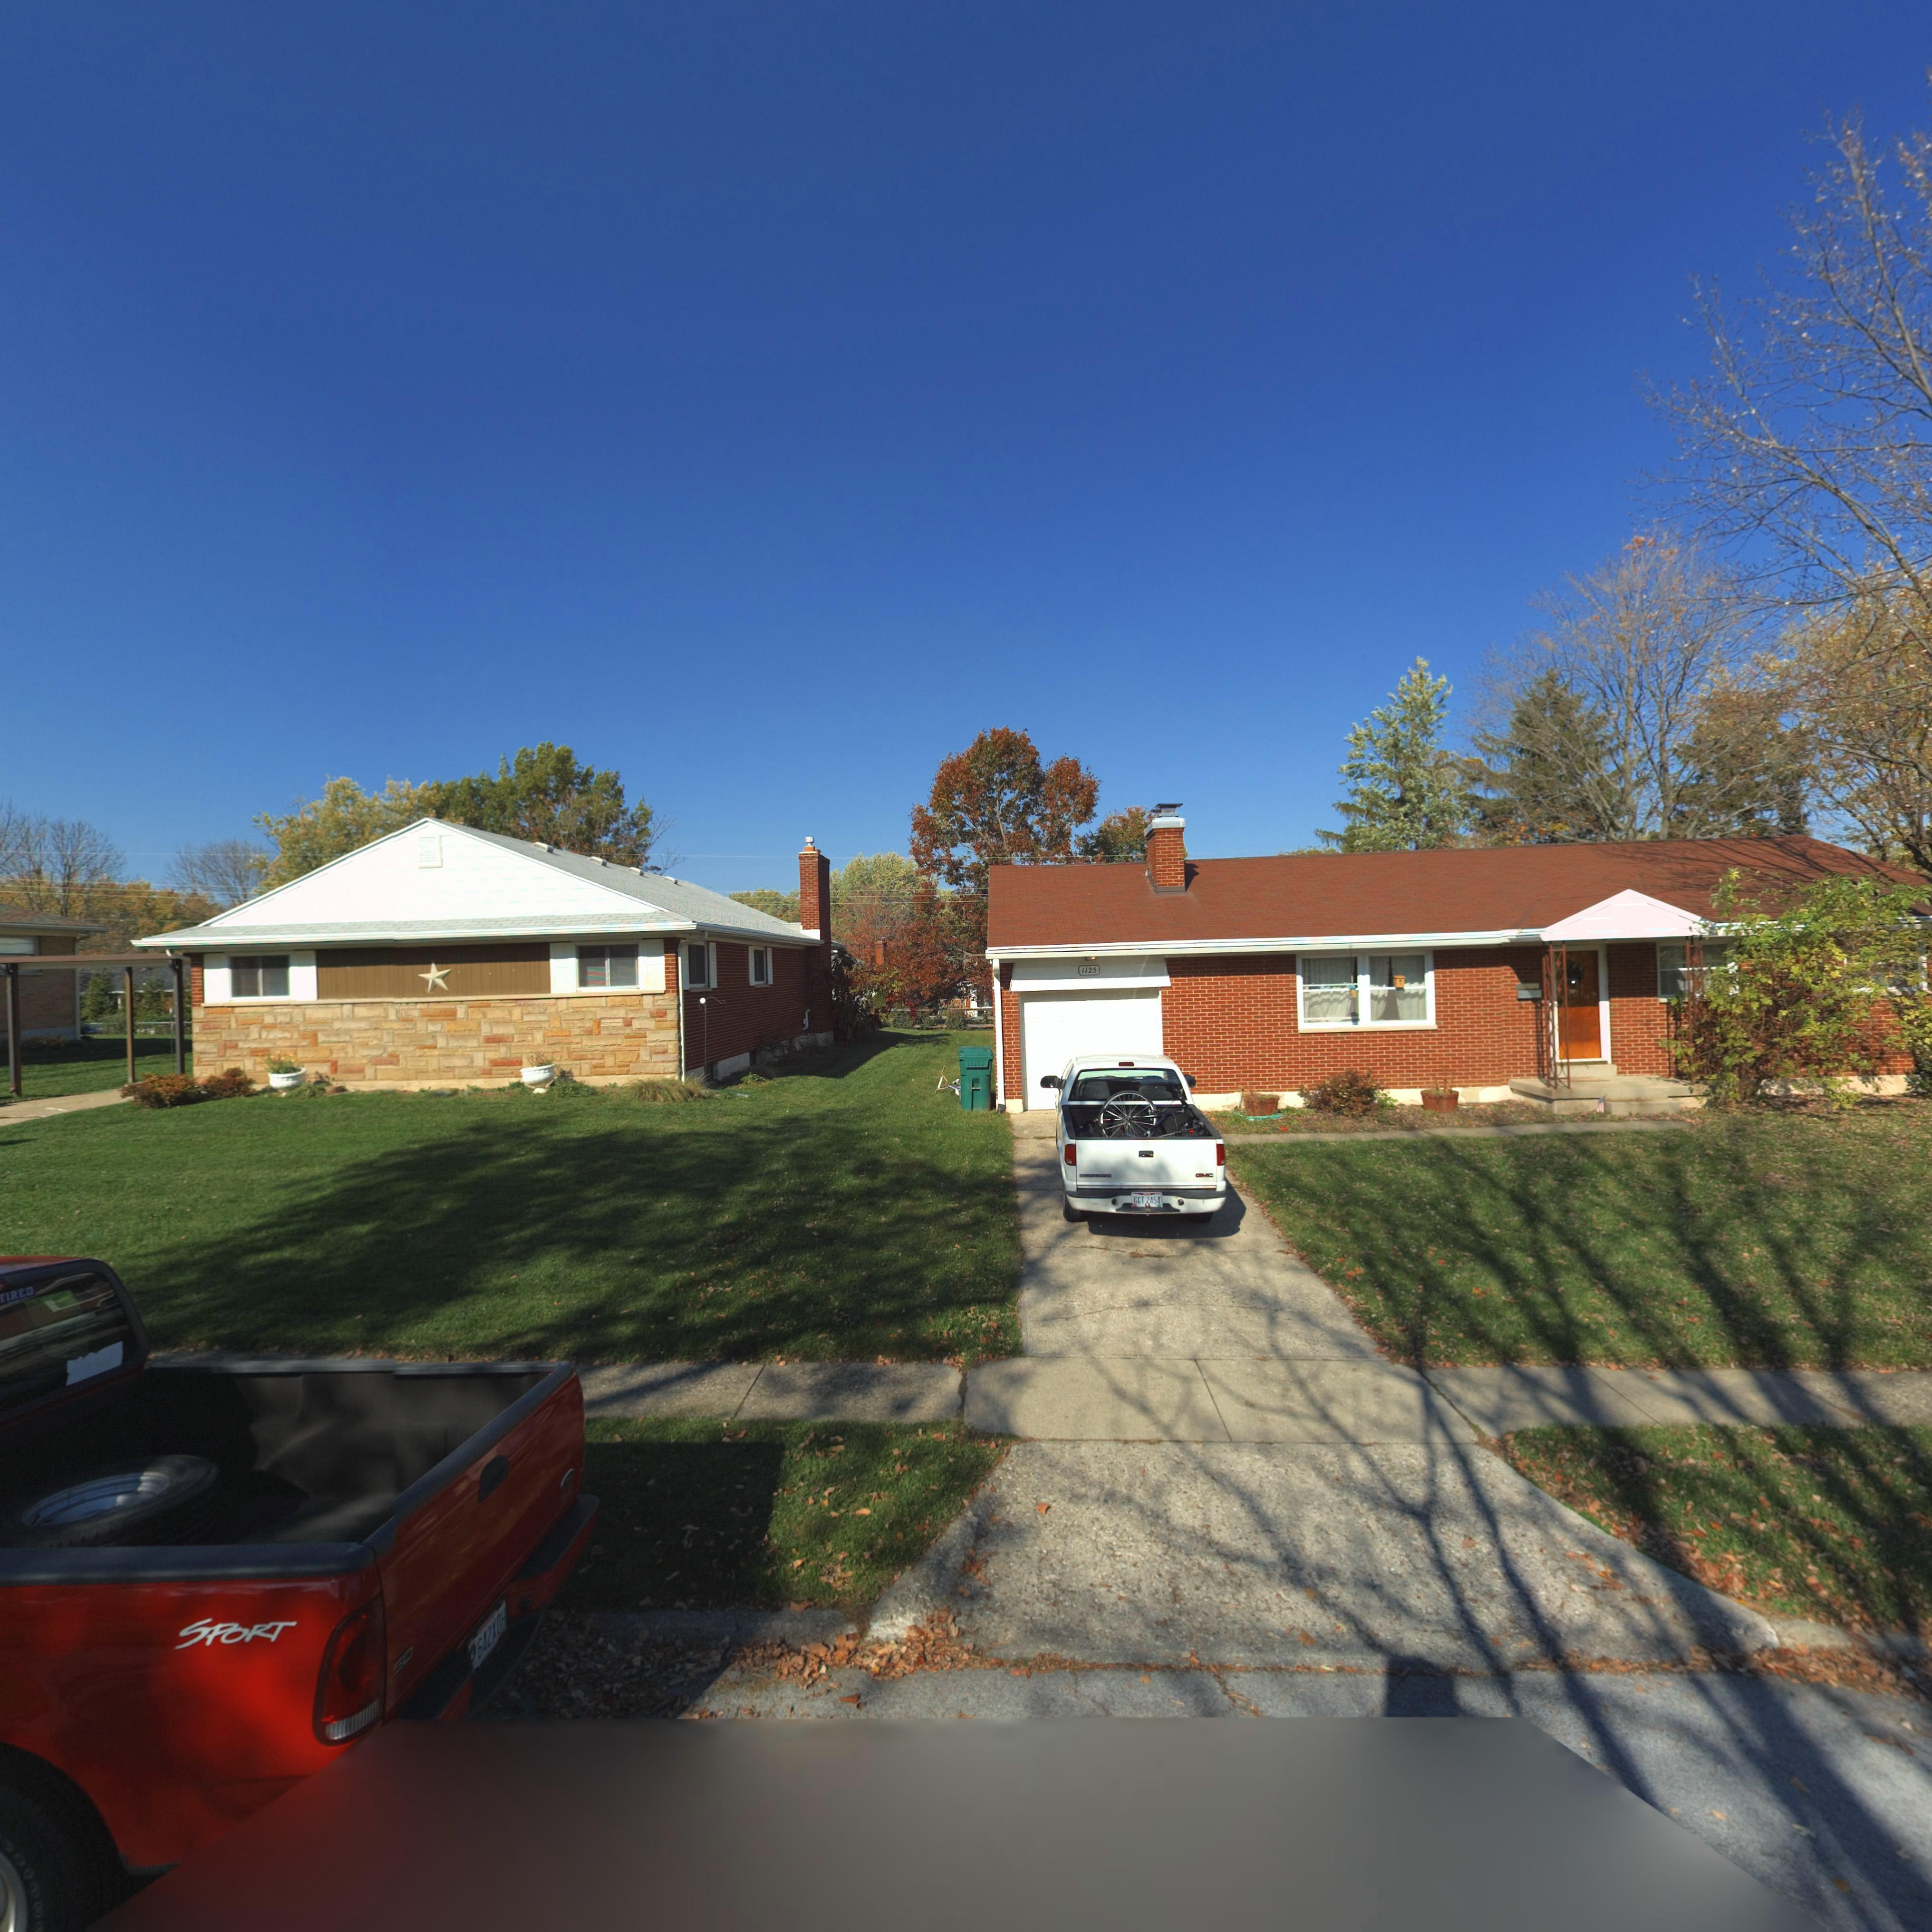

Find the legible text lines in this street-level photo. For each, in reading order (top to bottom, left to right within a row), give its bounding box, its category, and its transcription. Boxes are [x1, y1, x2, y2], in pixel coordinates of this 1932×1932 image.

[1081, 966, 1098, 975] None: 1125